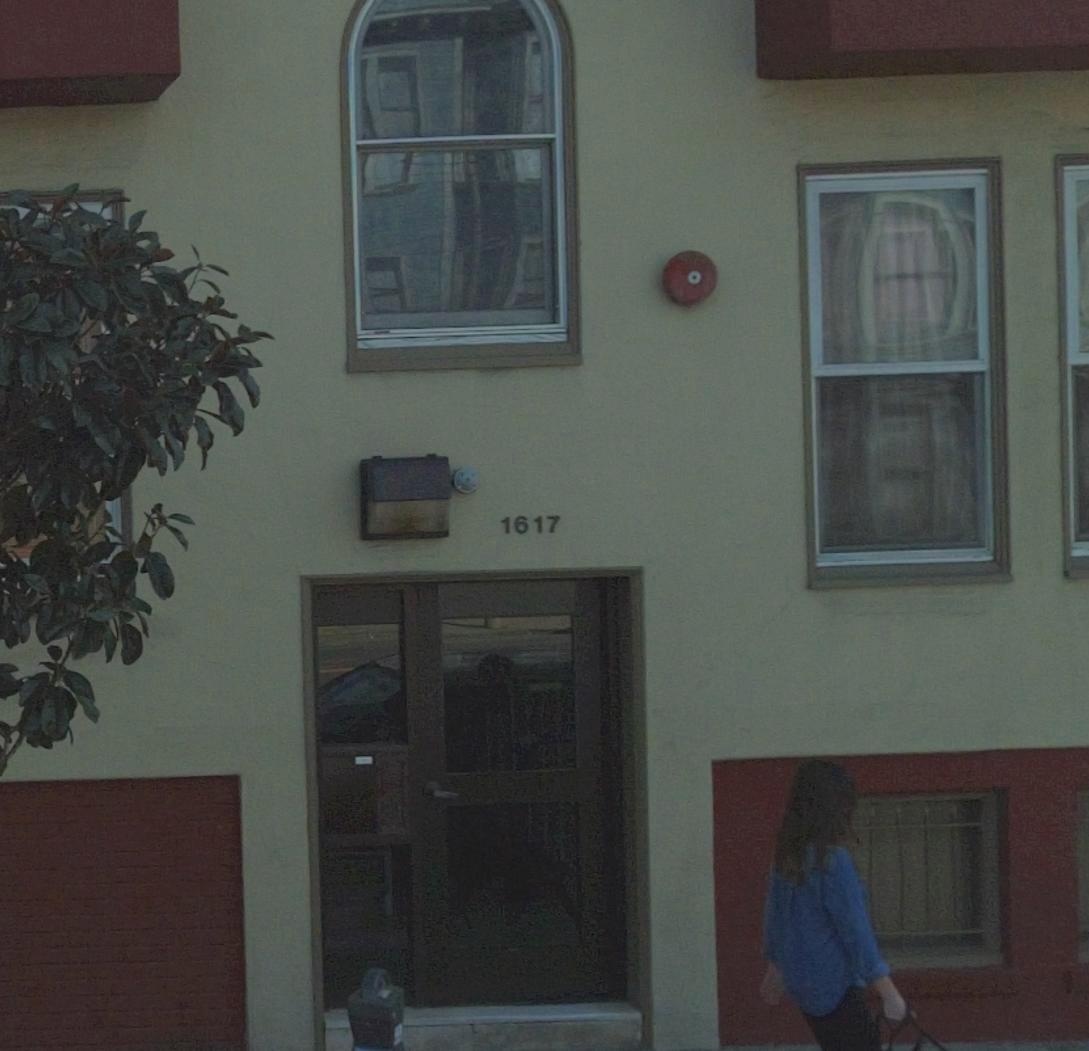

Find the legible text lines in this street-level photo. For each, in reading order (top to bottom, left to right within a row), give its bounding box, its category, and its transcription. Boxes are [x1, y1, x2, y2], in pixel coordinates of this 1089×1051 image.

[497, 511, 566, 538] StreetNumber: 1617